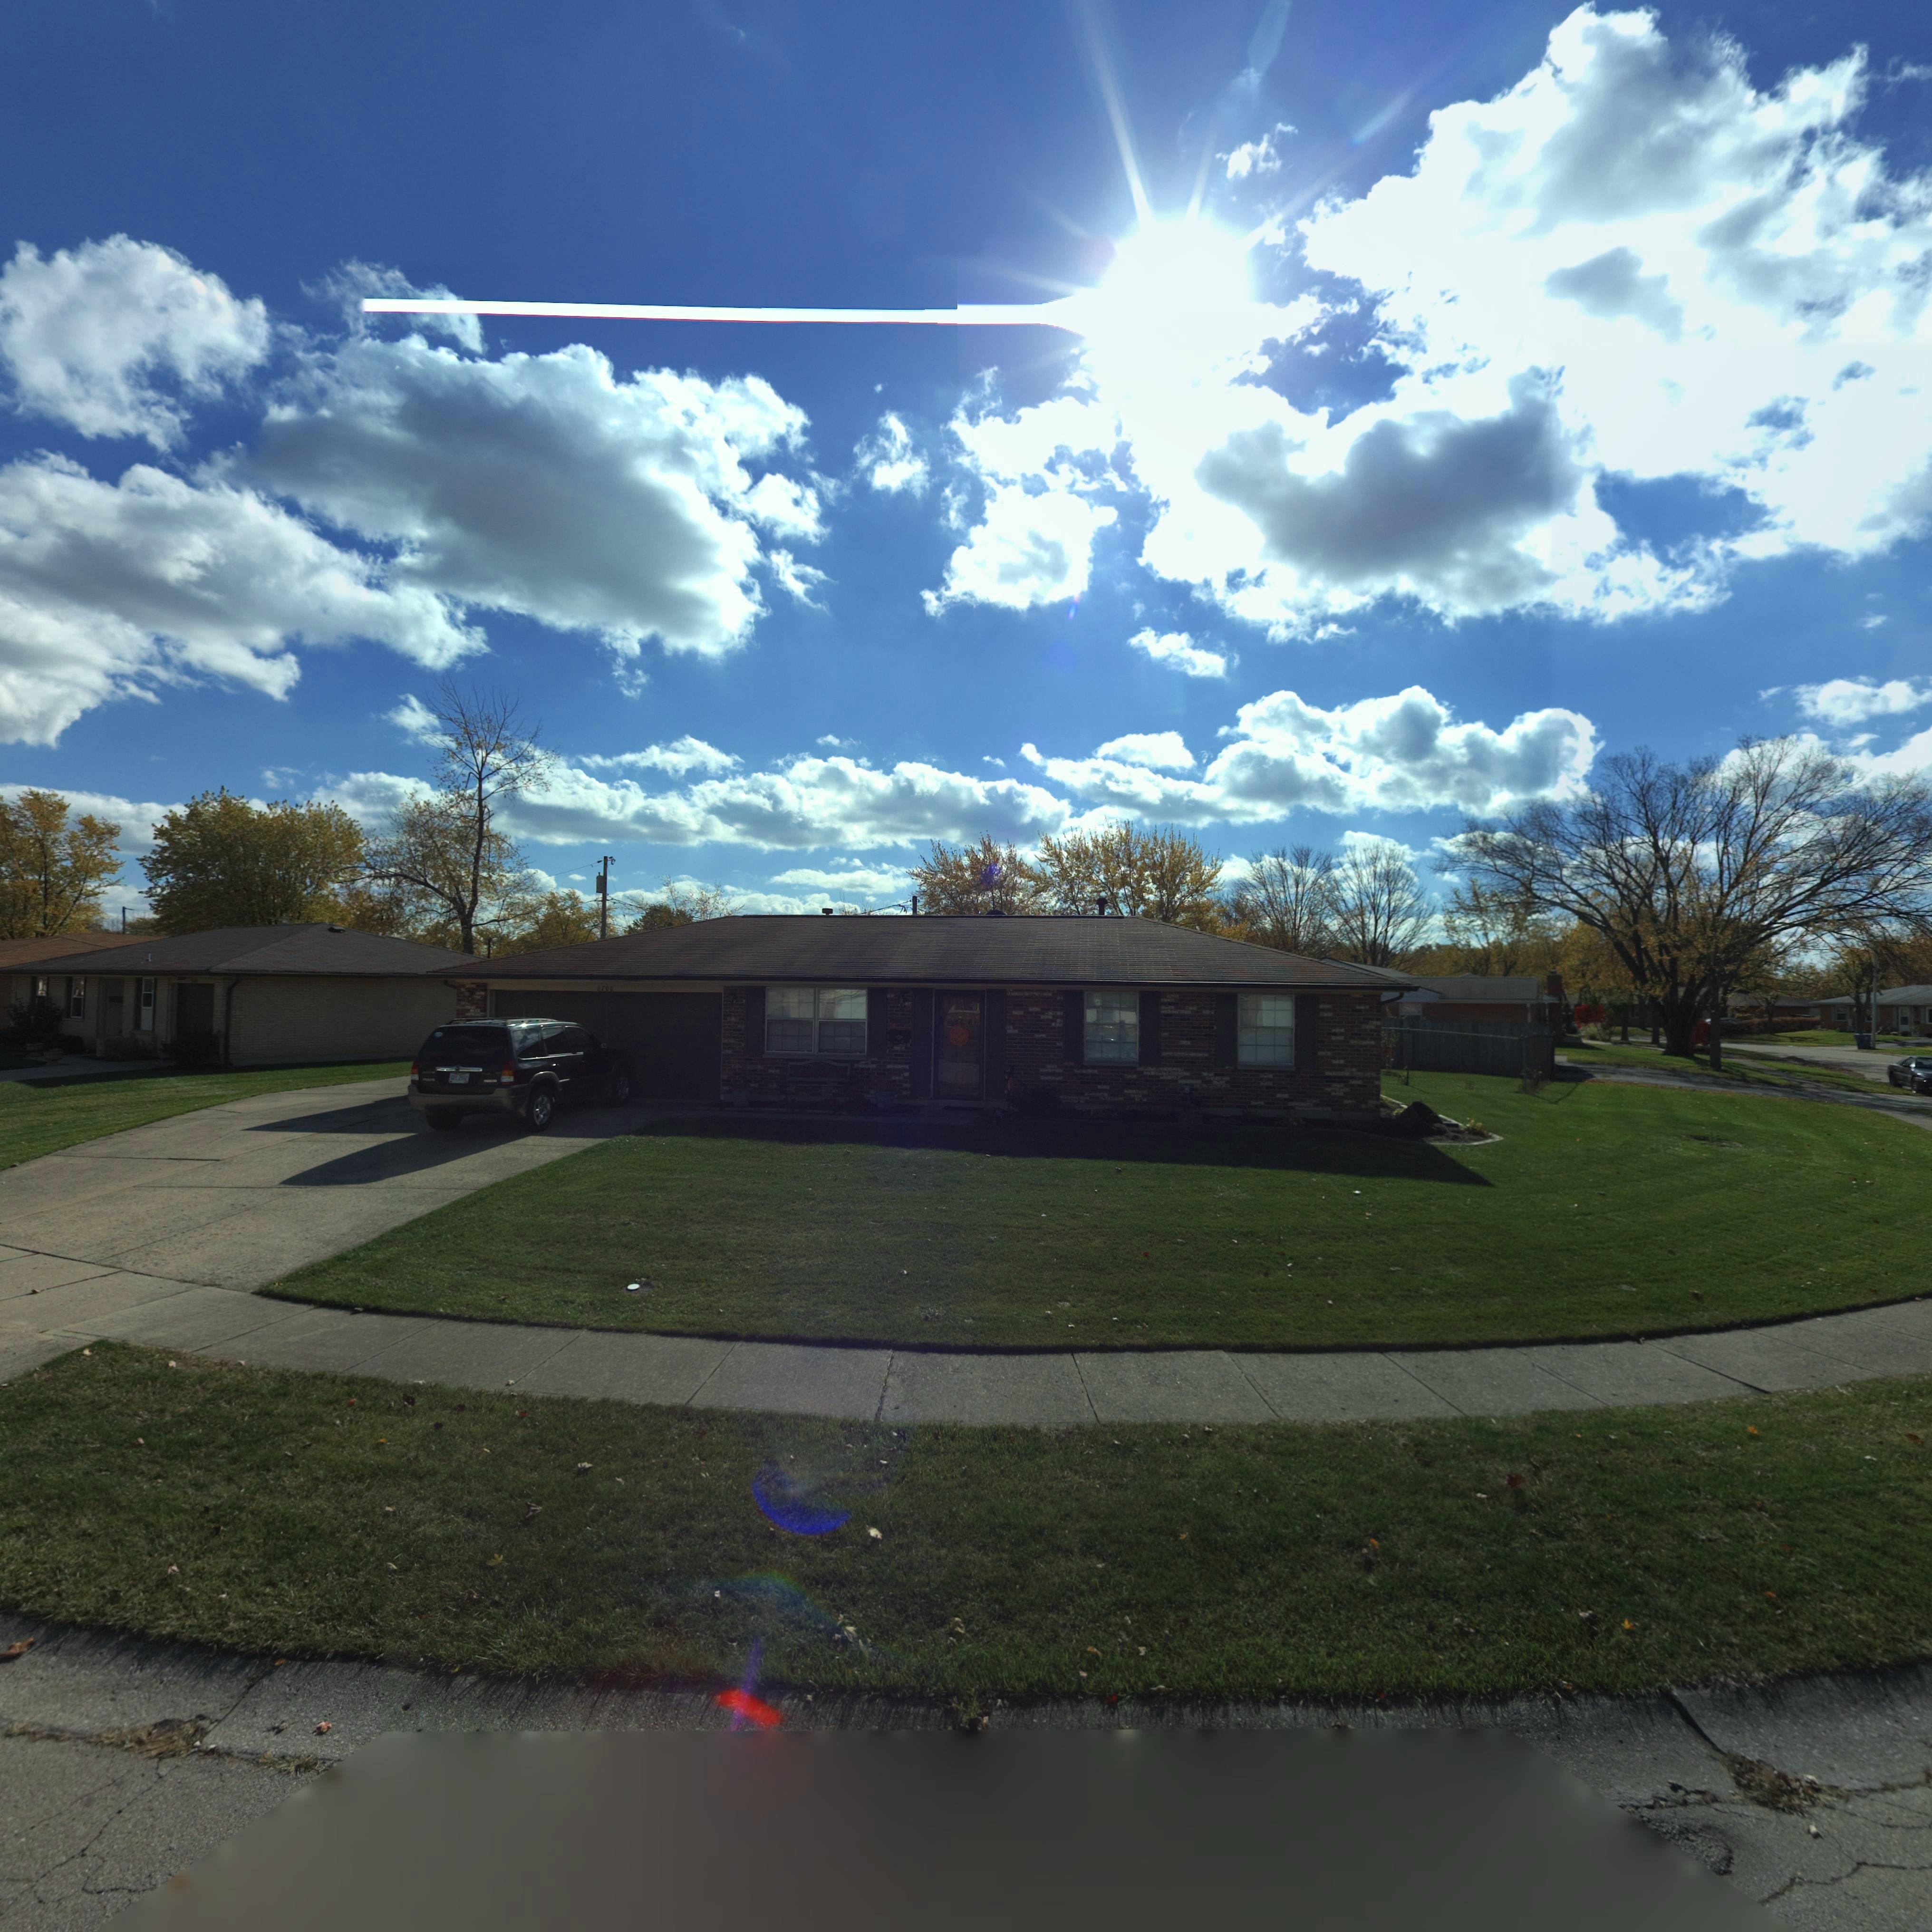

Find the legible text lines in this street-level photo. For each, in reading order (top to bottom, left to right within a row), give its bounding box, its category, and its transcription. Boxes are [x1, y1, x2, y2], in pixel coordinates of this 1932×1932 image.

[597, 985, 614, 992] StreetNumber: 6700